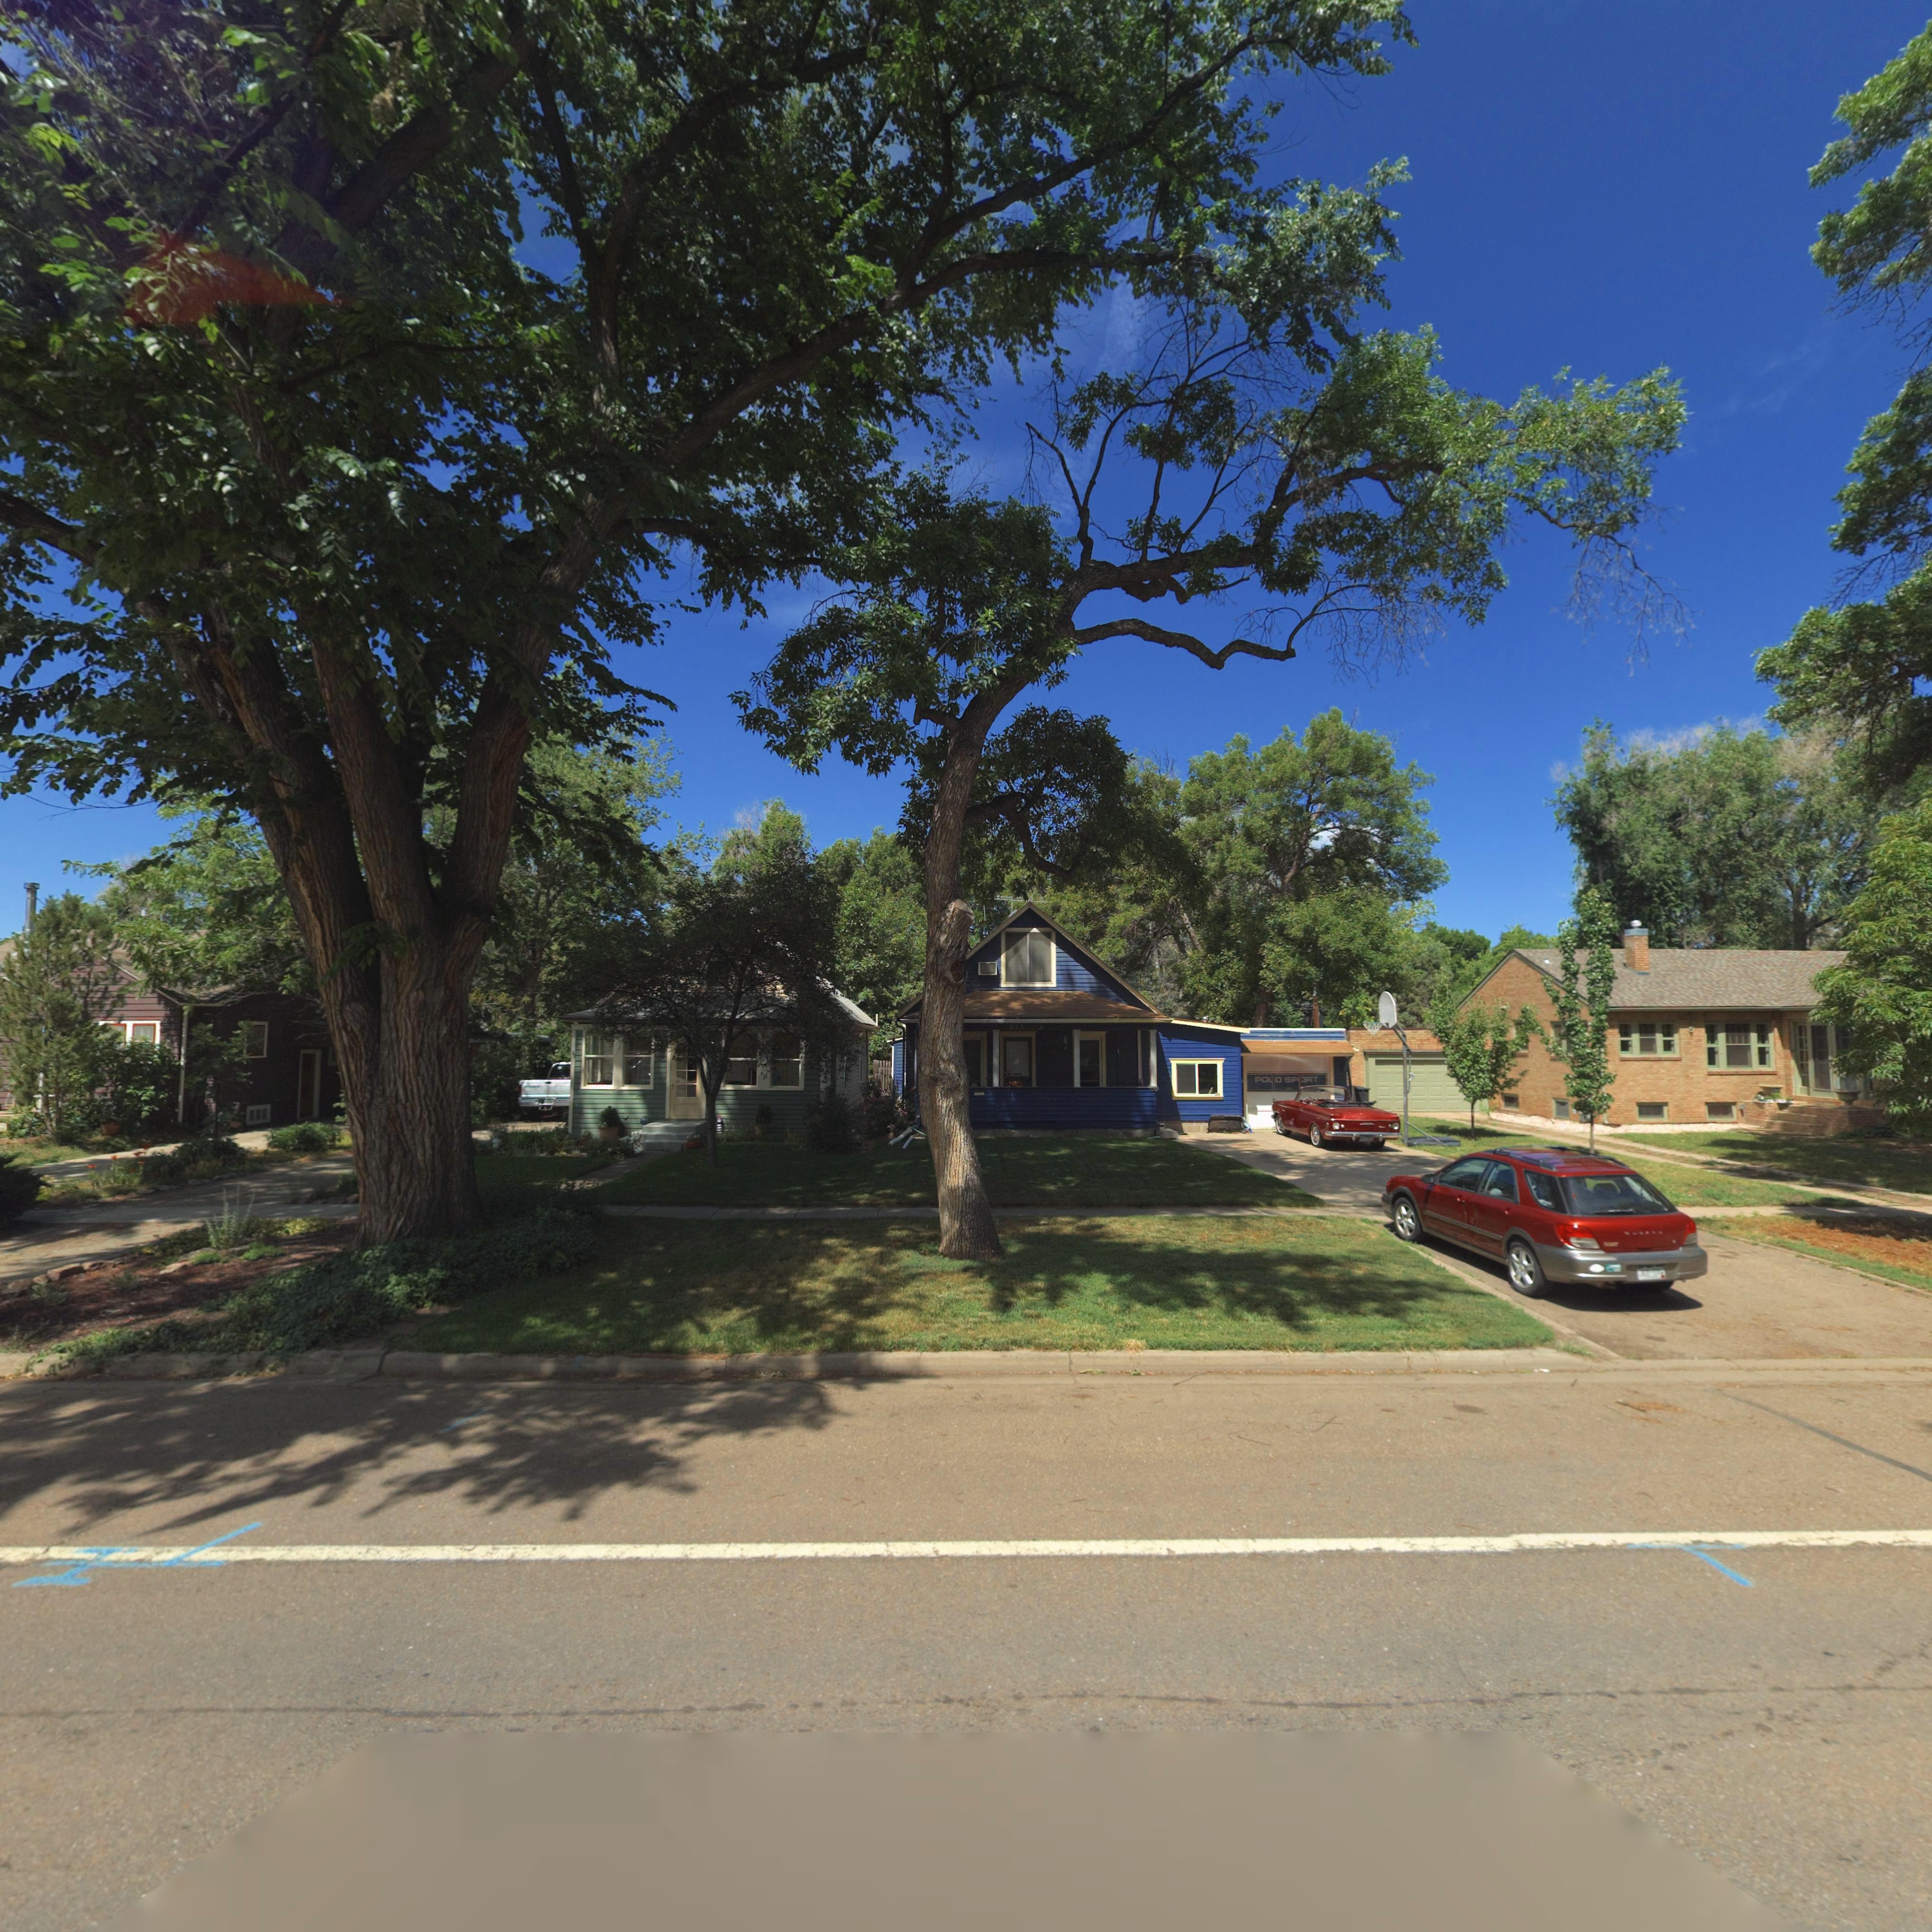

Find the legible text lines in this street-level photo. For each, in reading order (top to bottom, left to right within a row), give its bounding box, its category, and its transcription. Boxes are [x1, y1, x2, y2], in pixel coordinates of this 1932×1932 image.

[1009, 1023, 1024, 1030] StreetNumber: 823